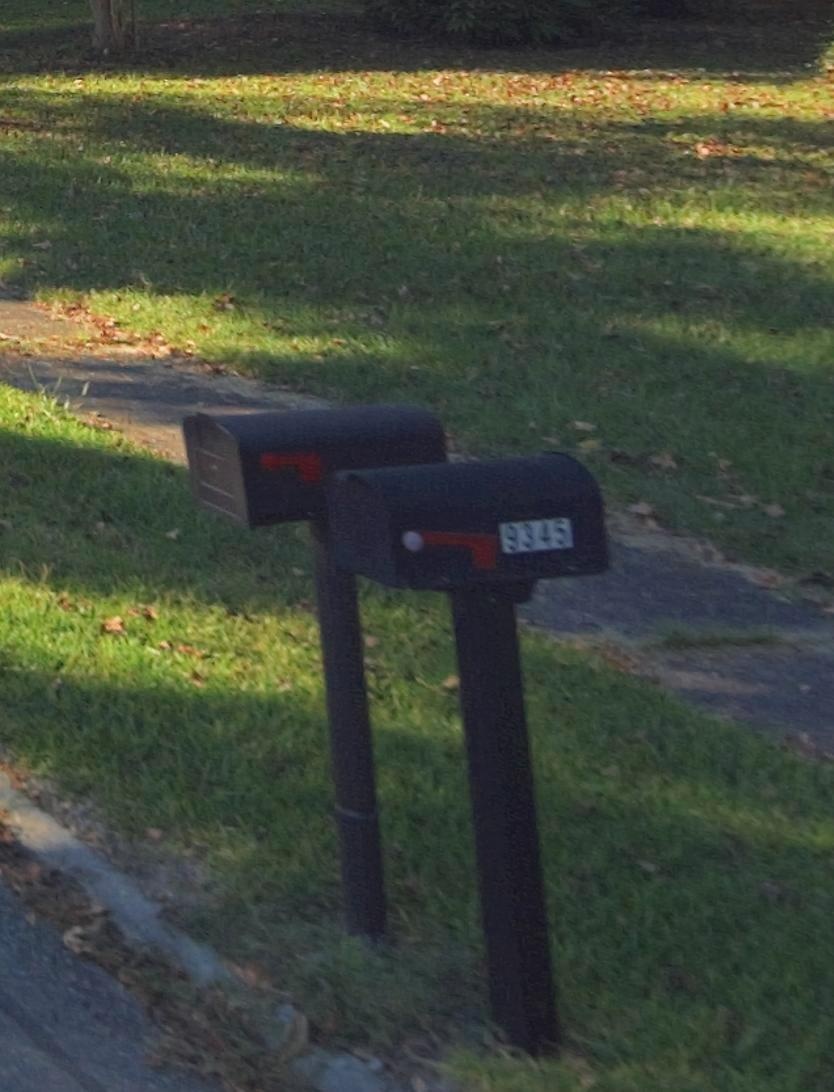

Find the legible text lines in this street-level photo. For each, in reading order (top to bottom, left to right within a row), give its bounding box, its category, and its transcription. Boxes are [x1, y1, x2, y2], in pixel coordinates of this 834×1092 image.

[505, 517, 569, 552] StreetNumber: 9345